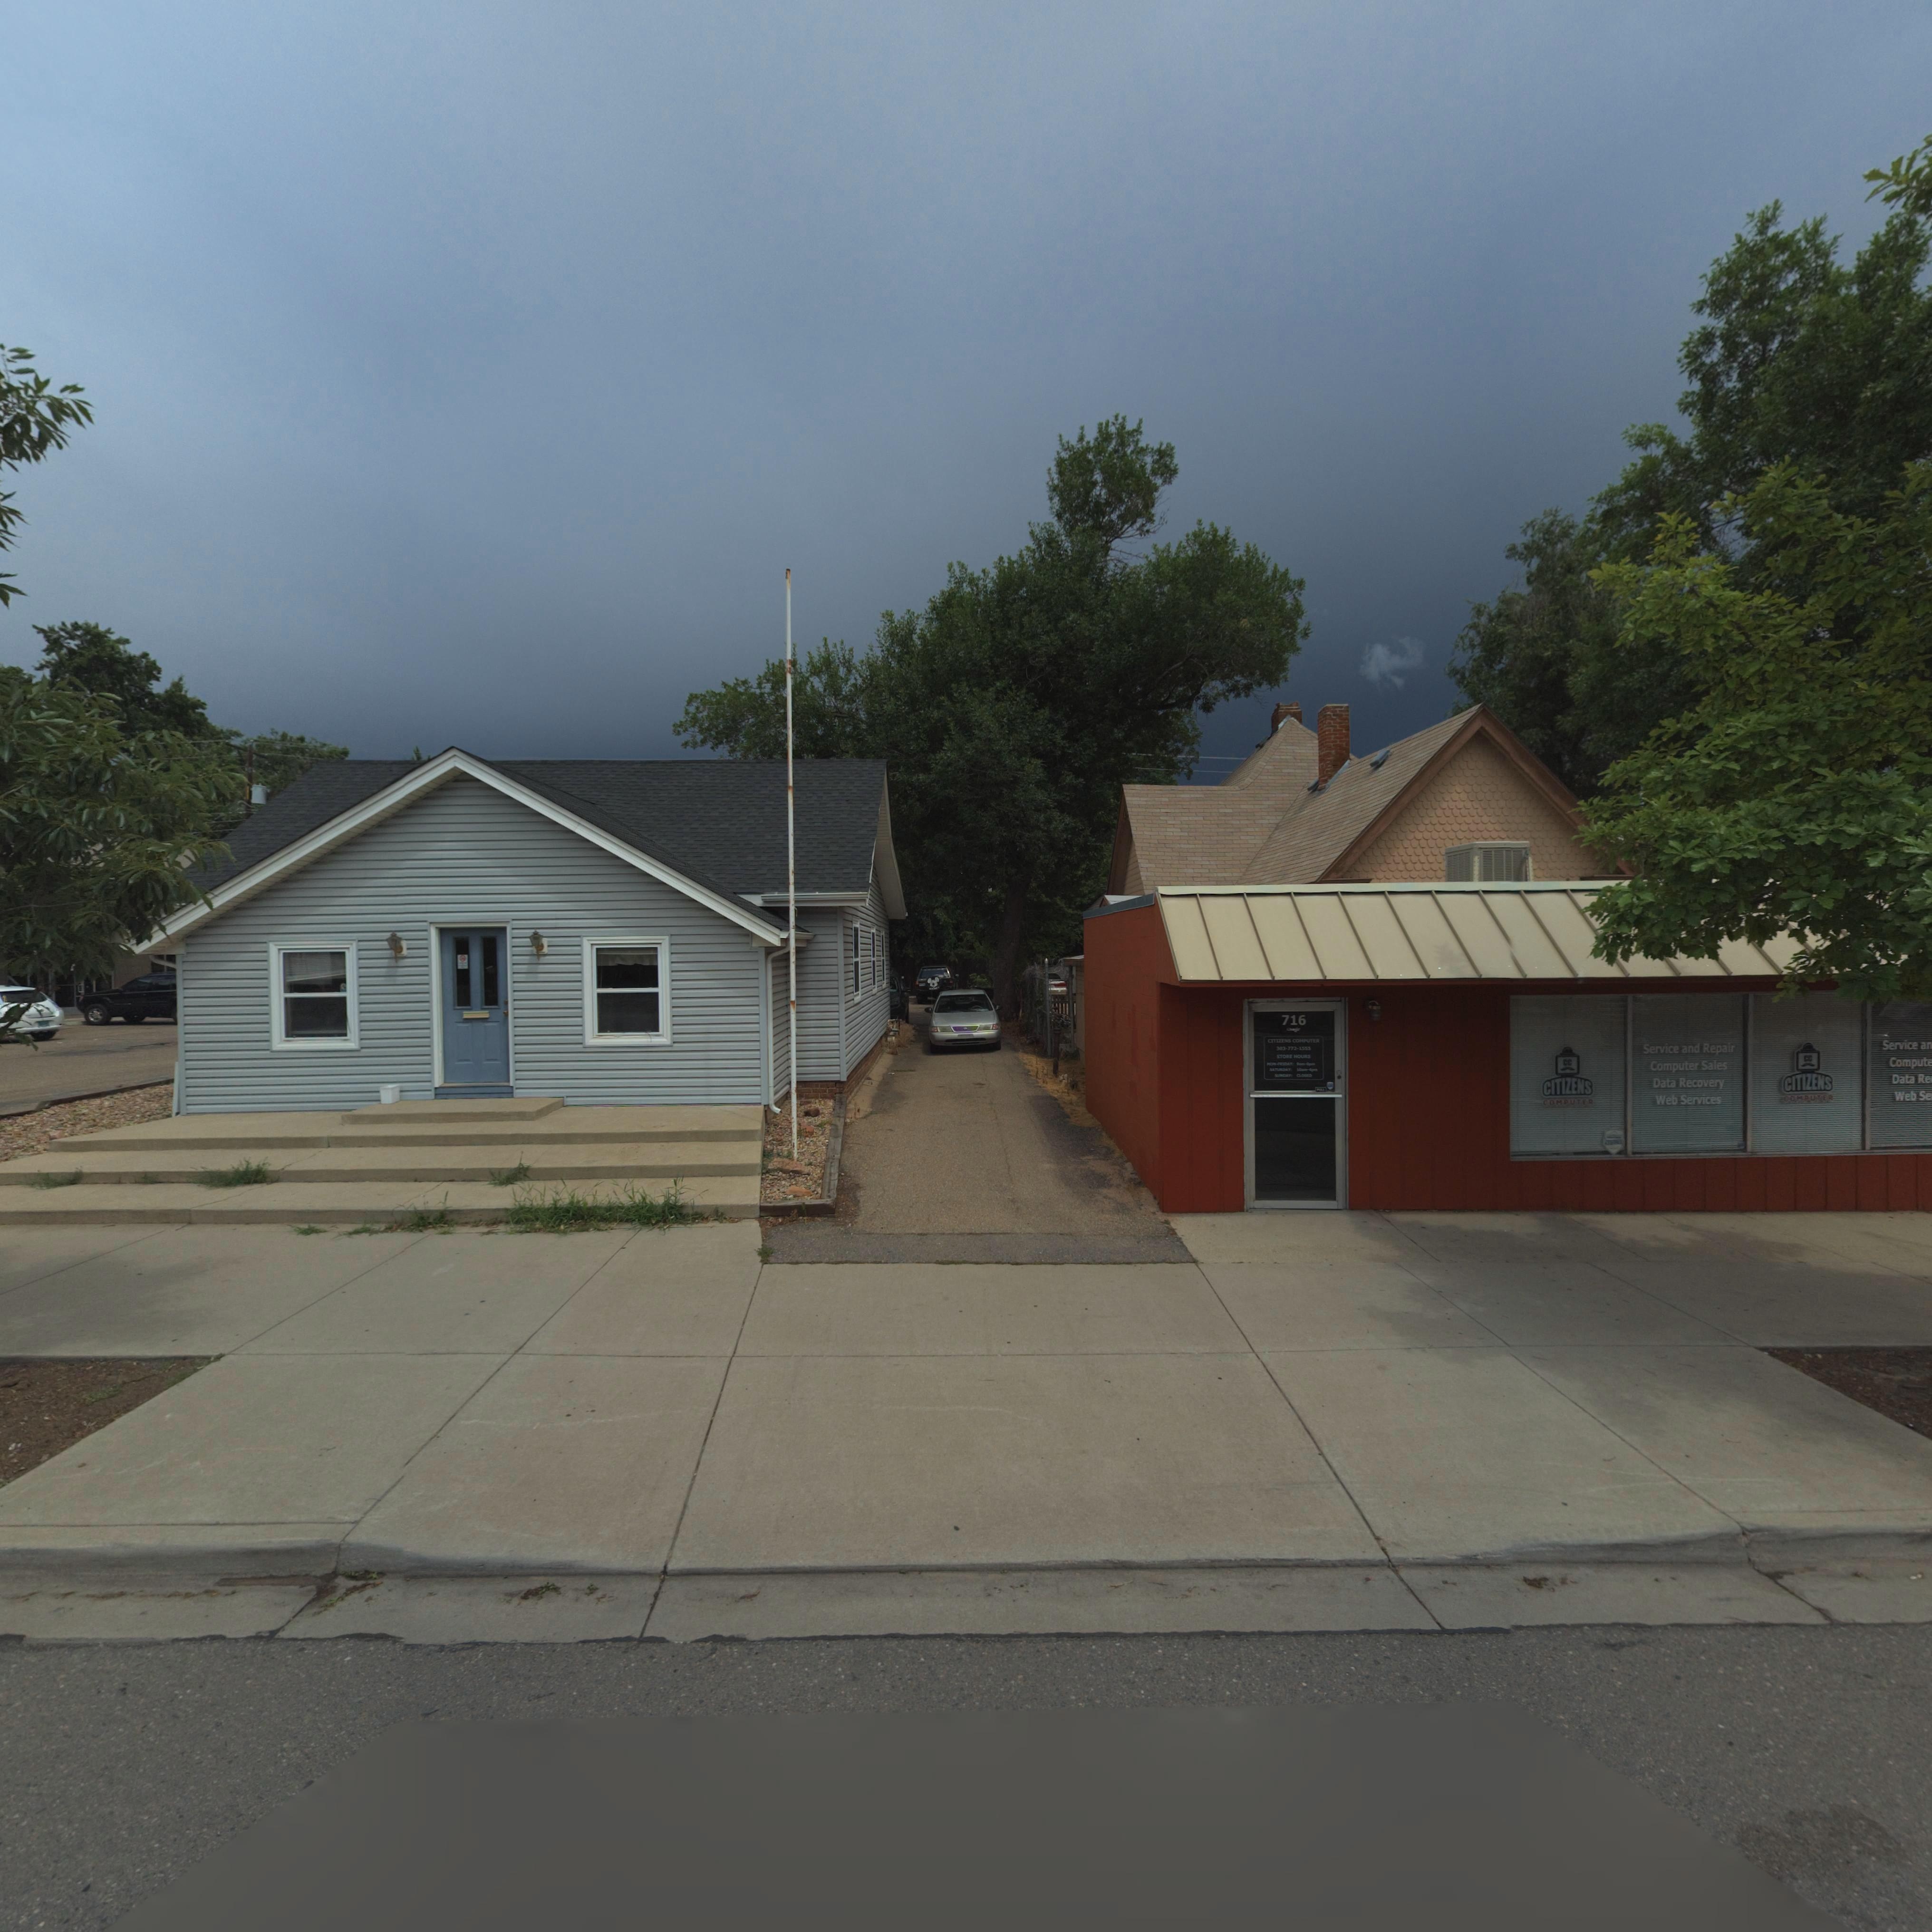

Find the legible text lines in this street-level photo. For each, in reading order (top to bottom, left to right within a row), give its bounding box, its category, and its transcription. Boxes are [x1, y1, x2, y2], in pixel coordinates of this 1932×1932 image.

[1282, 1014, 1306, 1025] StreetNumber: 716
[1542, 1076, 1593, 1096] StreetNumber: CITIZENS
[1783, 1072, 1833, 1092] BusinessName: CITIZENS
[1542, 1099, 1594, 1106] BusinessName: COMPUTER
[1782, 1094, 1833, 1103] BusinessName: COMPUTER